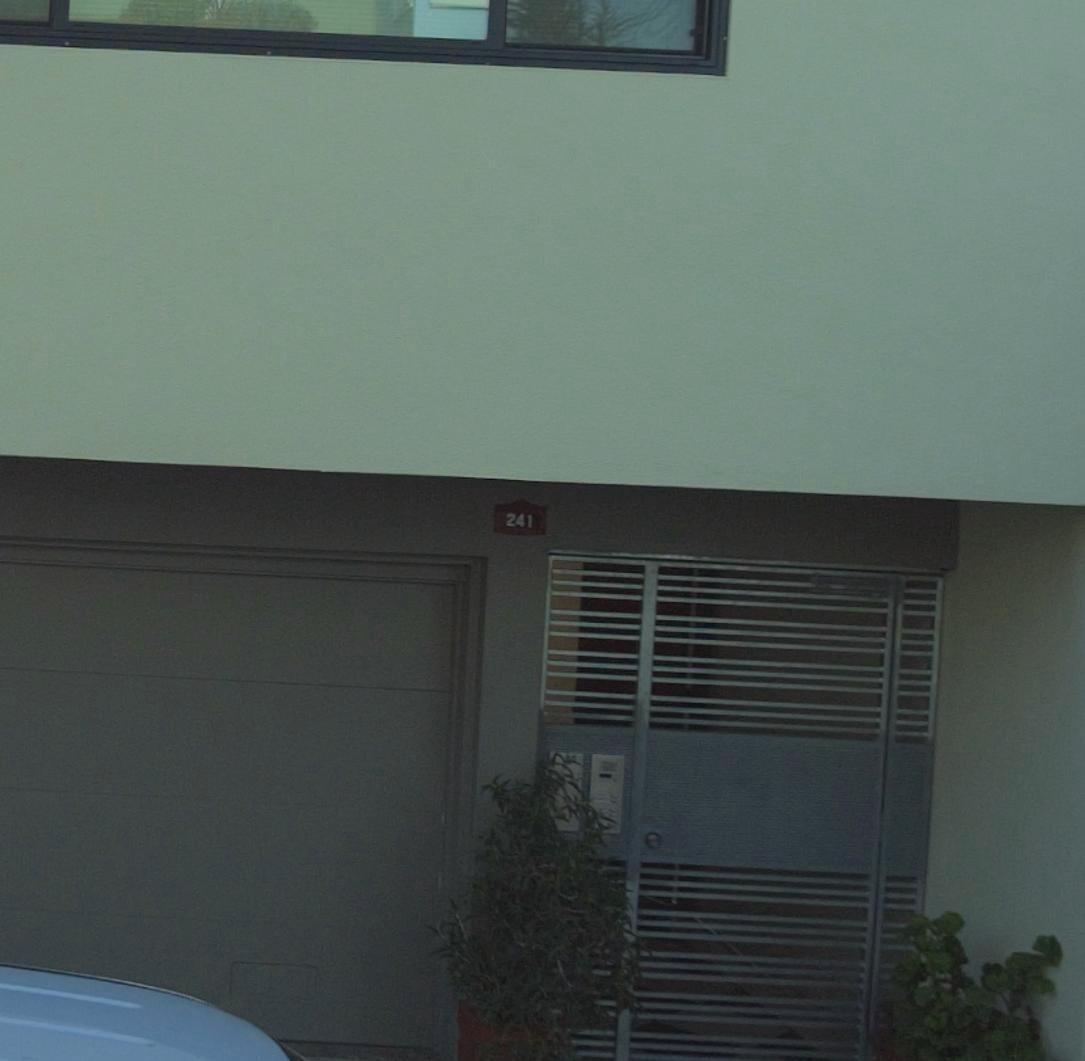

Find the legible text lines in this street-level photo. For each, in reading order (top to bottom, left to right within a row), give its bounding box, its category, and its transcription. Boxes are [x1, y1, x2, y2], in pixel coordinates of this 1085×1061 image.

[504, 511, 534, 530] StreetNumber: 241